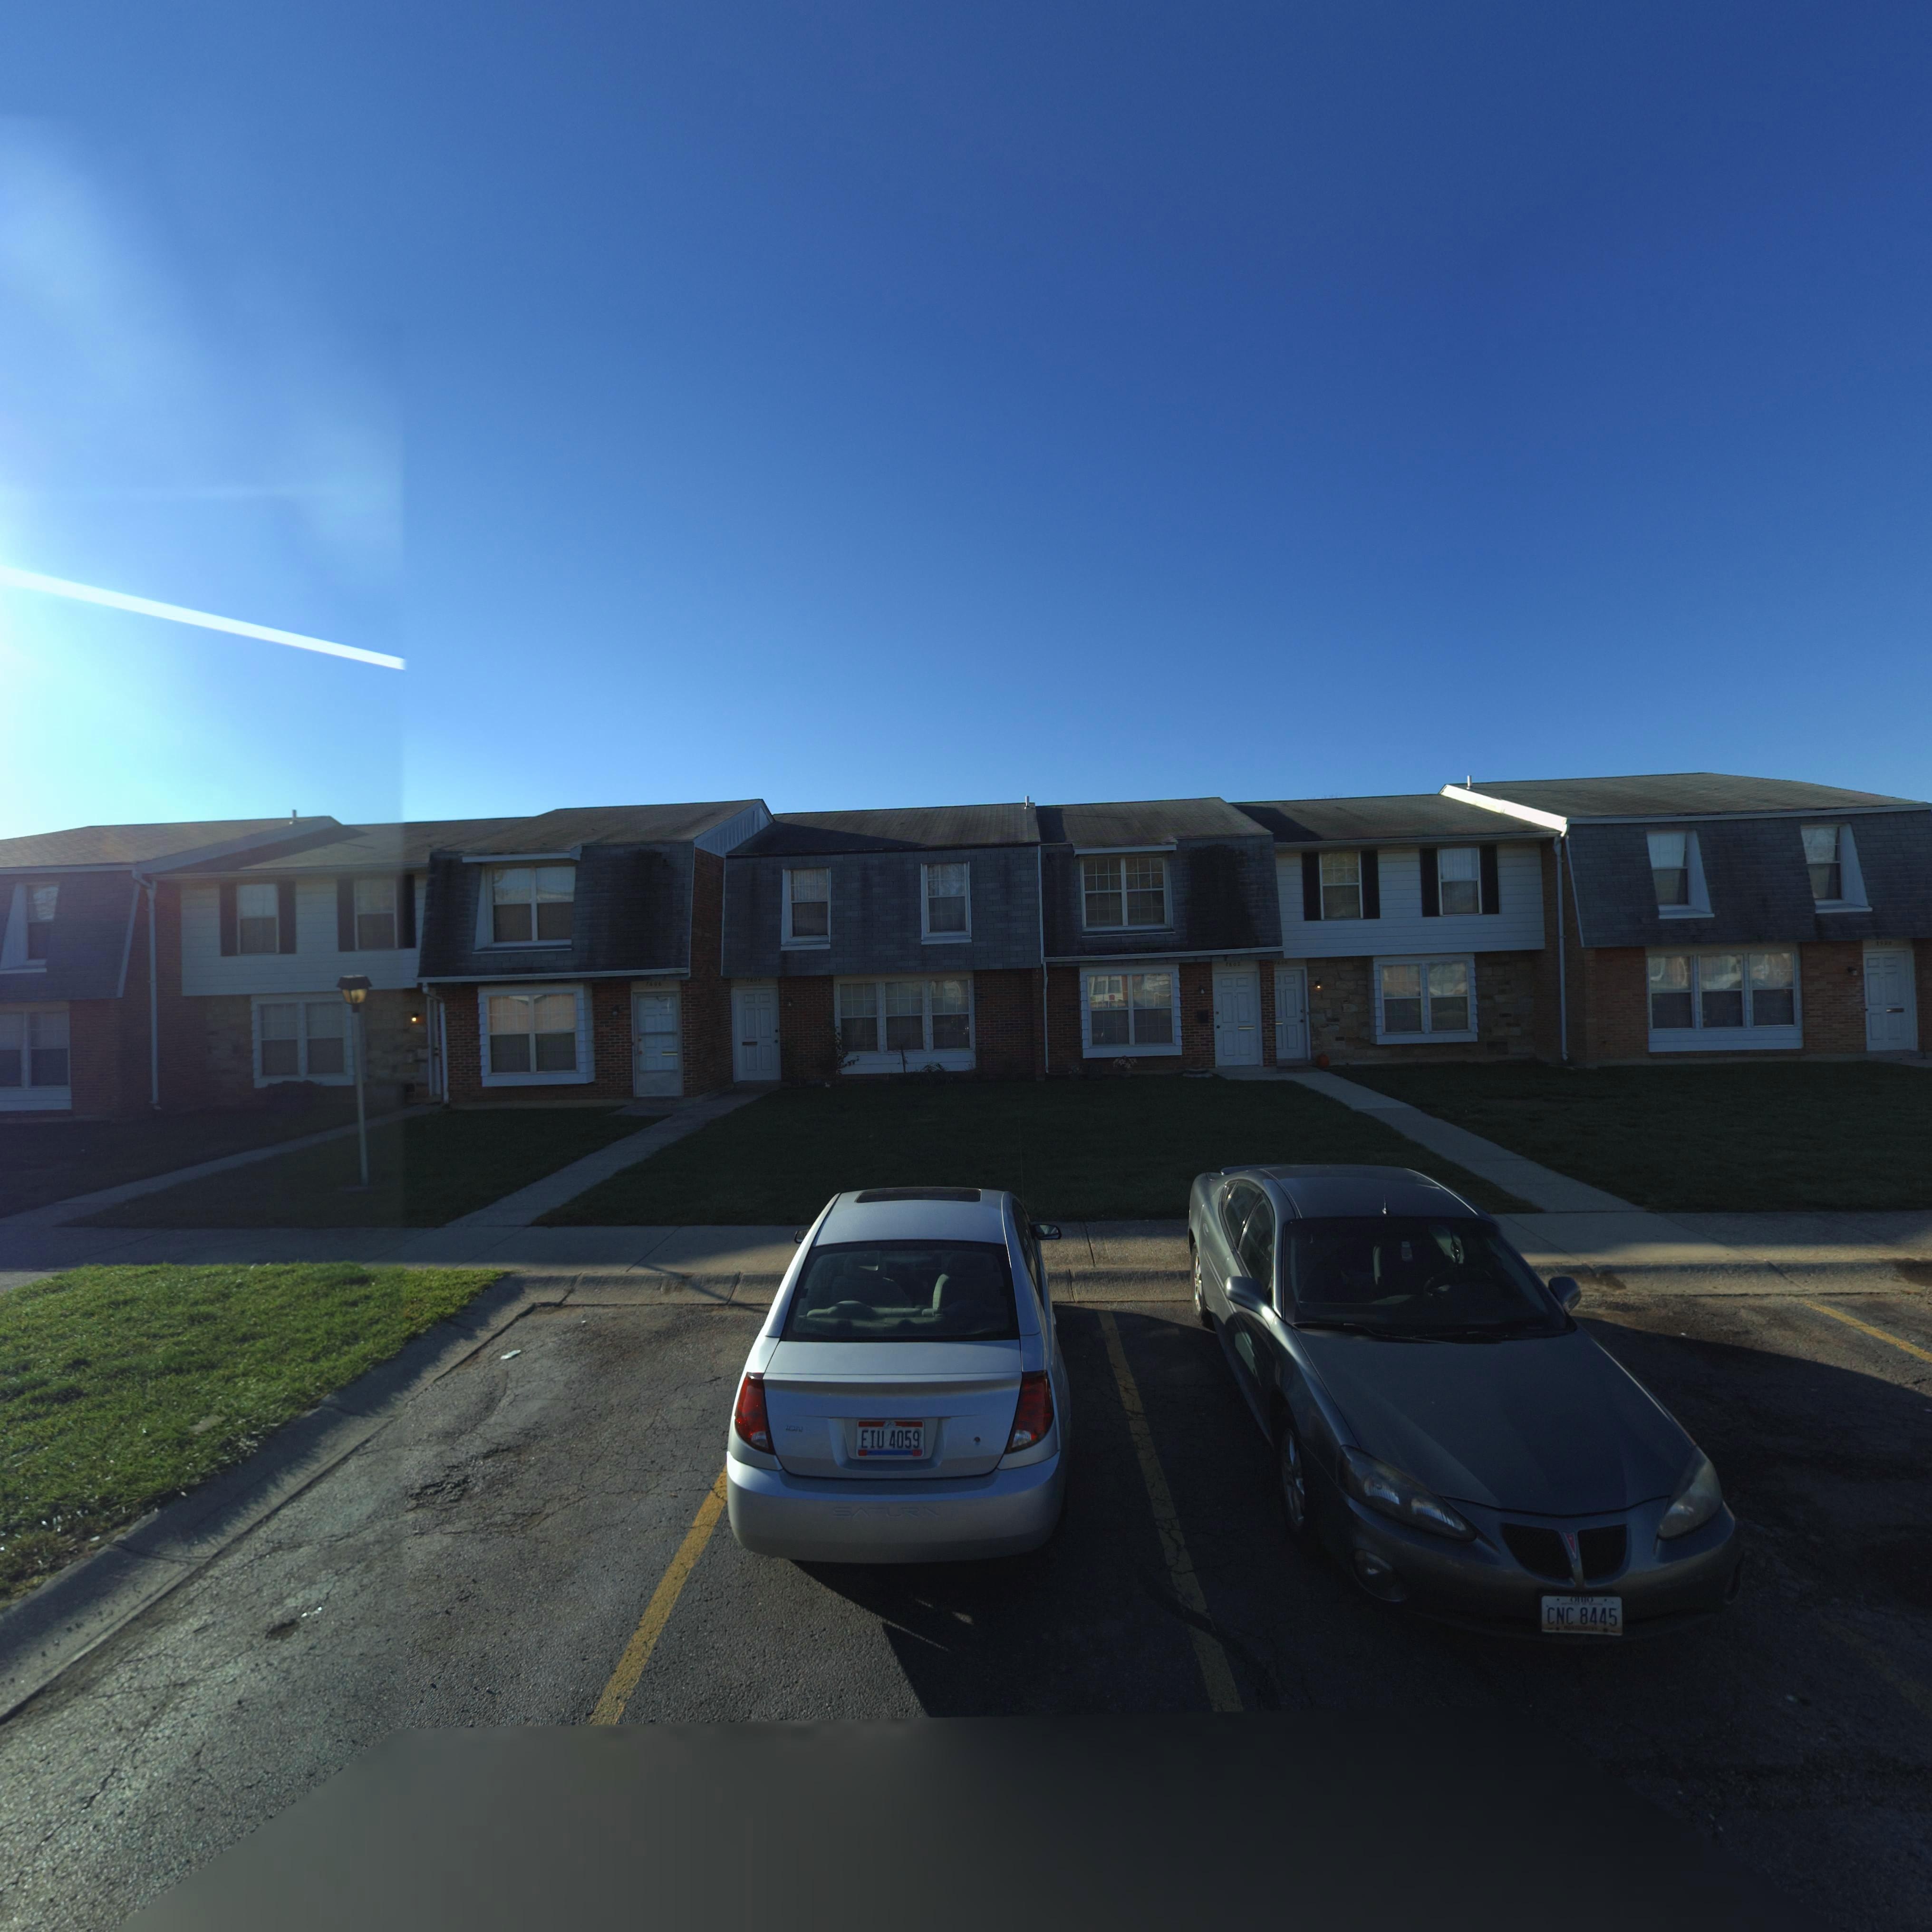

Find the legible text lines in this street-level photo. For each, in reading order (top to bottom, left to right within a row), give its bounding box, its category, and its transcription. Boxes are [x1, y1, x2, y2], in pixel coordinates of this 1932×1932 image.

[1874, 940, 1893, 947] StreetNumber: 7598
[1225, 961, 1241, 967] StreetNumber: 7602
[1273, 959, 1289, 965] StreetNumber: 7600
[746, 977, 762, 983] StreetNumber: 7604
[645, 980, 662, 987] StreetNumber: 7606